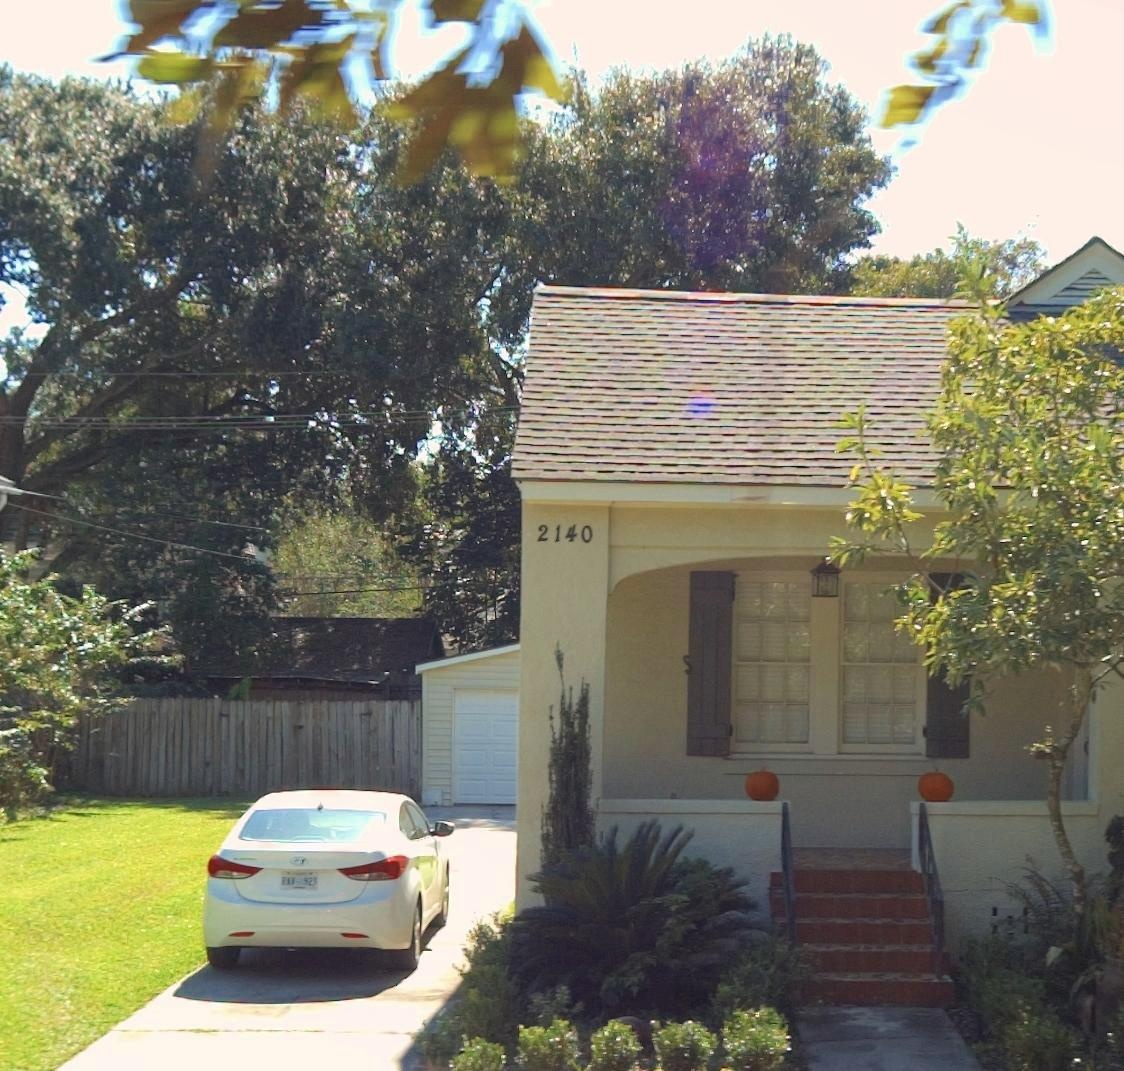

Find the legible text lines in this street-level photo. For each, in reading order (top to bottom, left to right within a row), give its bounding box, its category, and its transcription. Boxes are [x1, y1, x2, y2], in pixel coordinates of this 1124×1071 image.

[535, 522, 595, 545] StreetNumber: 2140